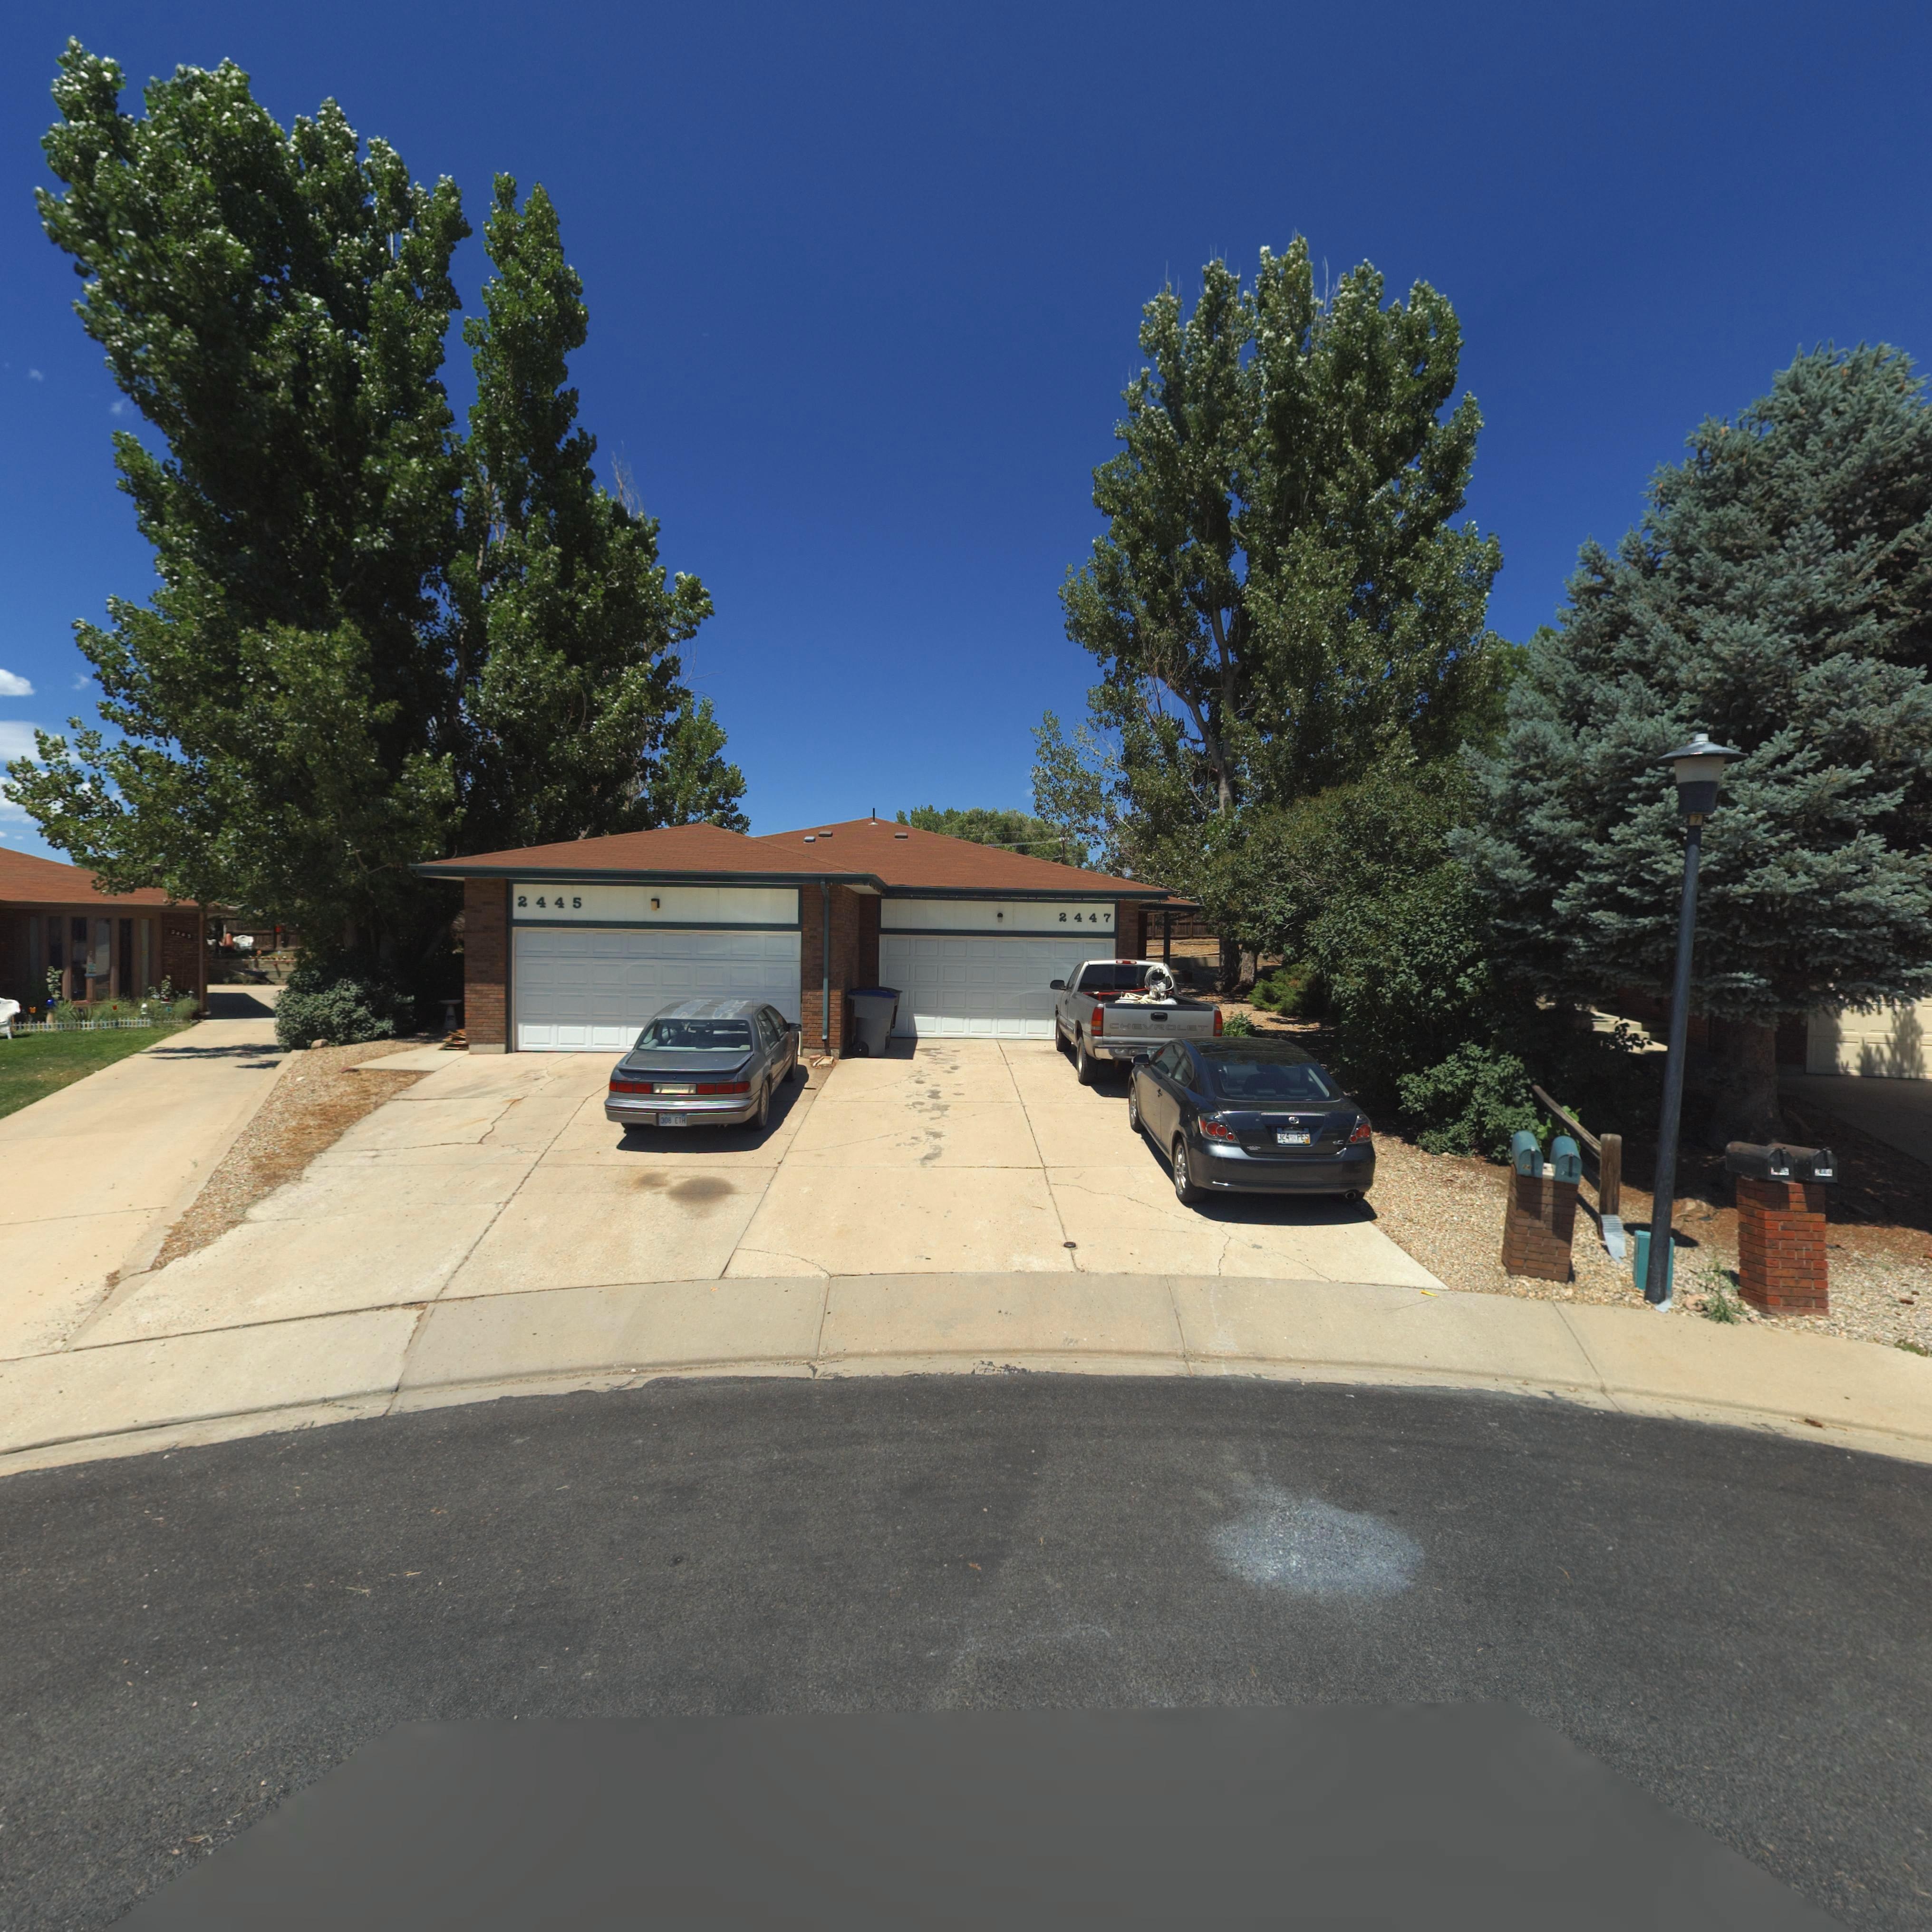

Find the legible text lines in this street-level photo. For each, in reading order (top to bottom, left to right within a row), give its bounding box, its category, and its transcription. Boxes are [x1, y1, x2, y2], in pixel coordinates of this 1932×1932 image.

[517, 896, 581, 908] StreetNumber: 2445
[1059, 913, 1111, 923] StreetNumber: 2447
[171, 929, 191, 939] StreetNumber: 244*